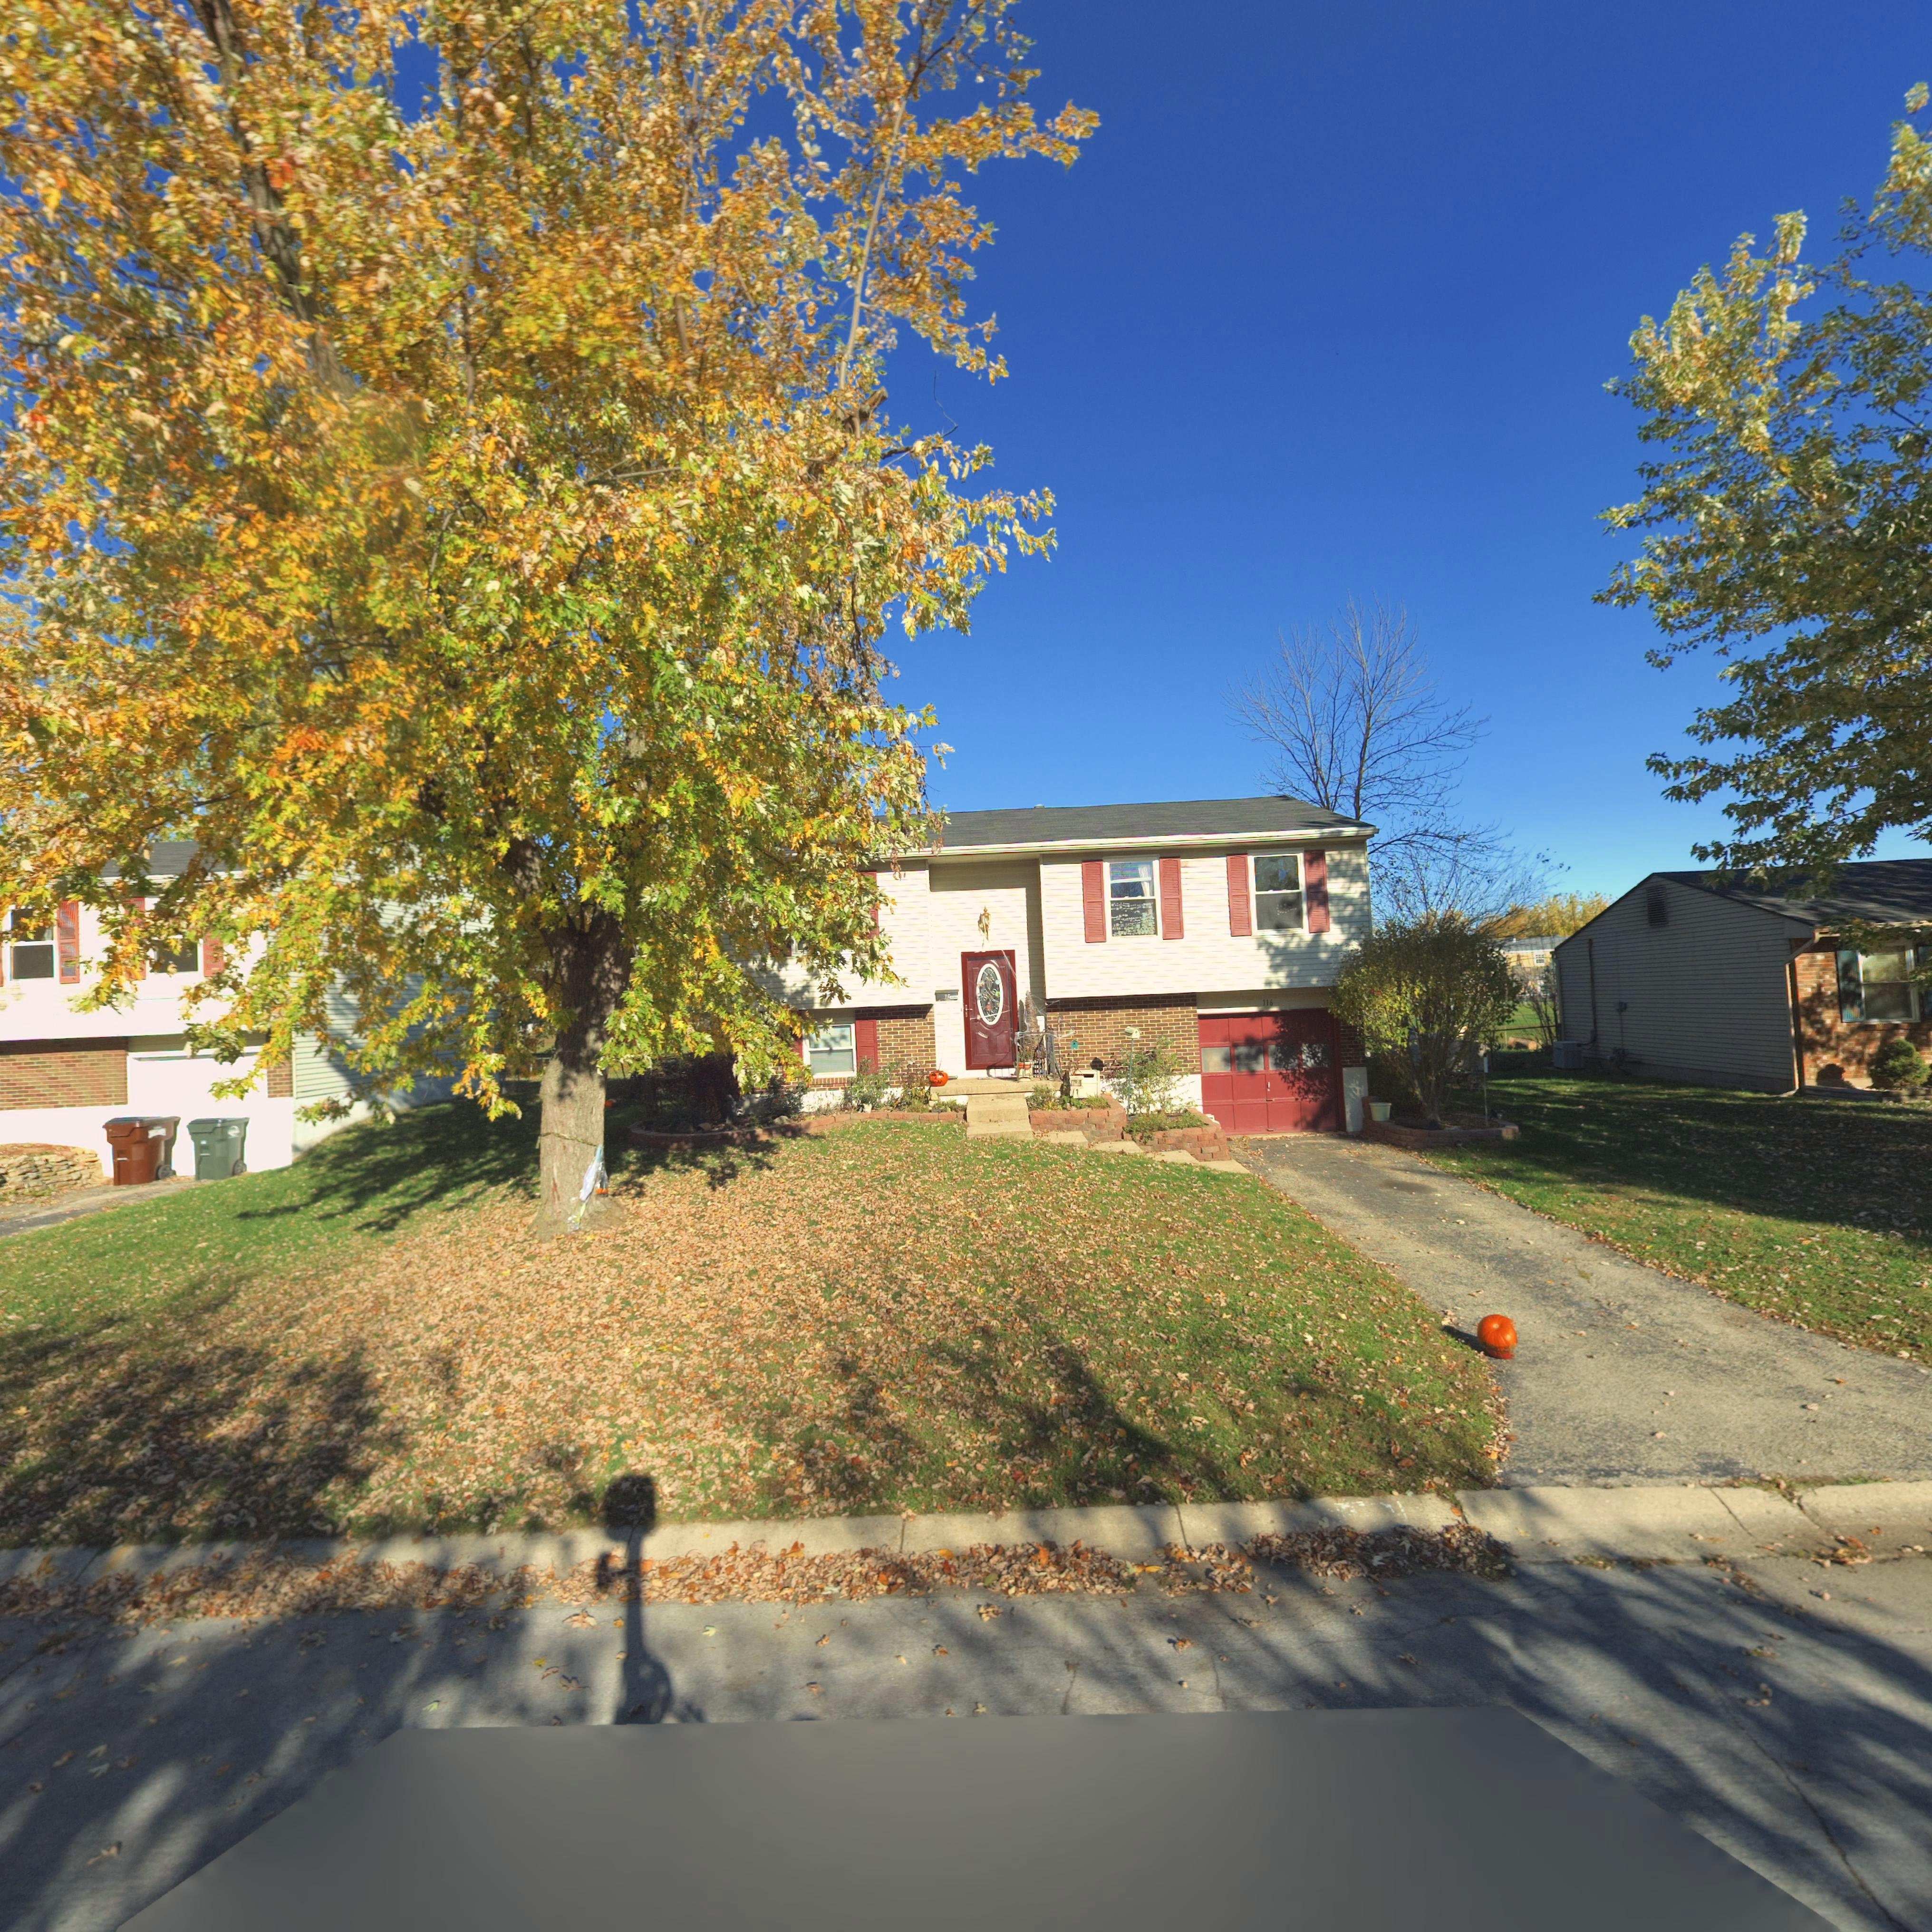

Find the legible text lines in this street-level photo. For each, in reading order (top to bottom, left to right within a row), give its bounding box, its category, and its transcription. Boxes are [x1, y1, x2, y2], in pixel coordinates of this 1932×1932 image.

[1263, 999, 1274, 1006] StreetNumber: 116